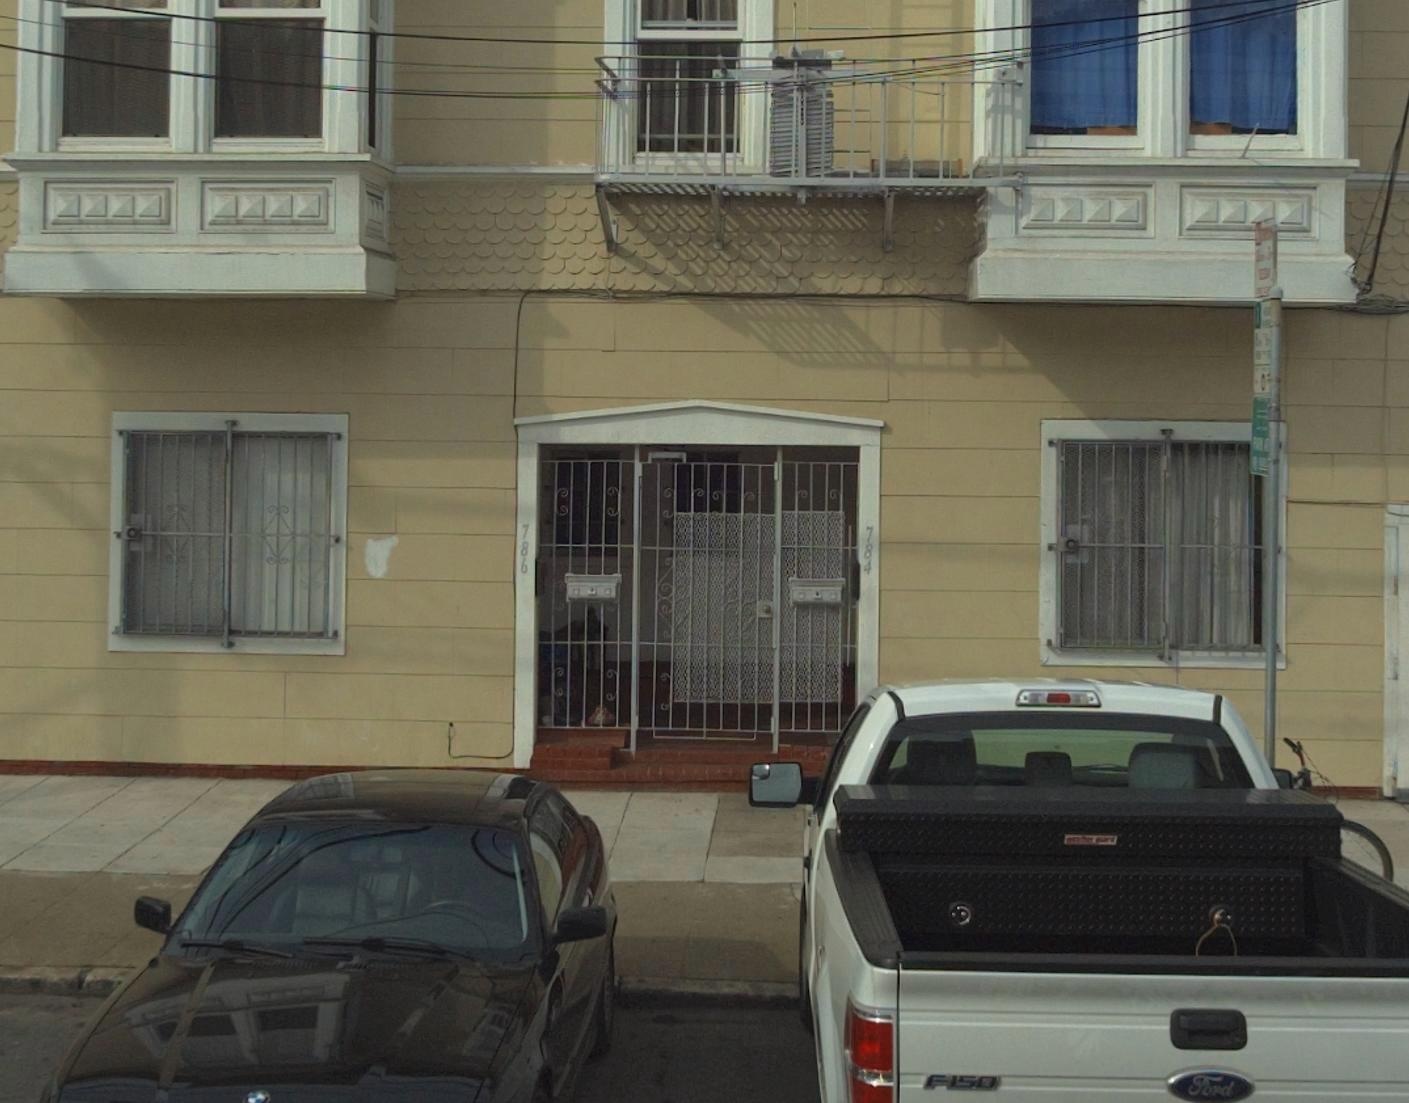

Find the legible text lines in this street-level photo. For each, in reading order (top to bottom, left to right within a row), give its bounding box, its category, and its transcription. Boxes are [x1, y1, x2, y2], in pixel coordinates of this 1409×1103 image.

[518, 521, 532, 576] StreetNumber: 786
[863, 523, 876, 577] StreetNumber: 784
[920, 1072, 1001, 1092] None: F150
[1185, 1073, 1236, 1098] None: Ford